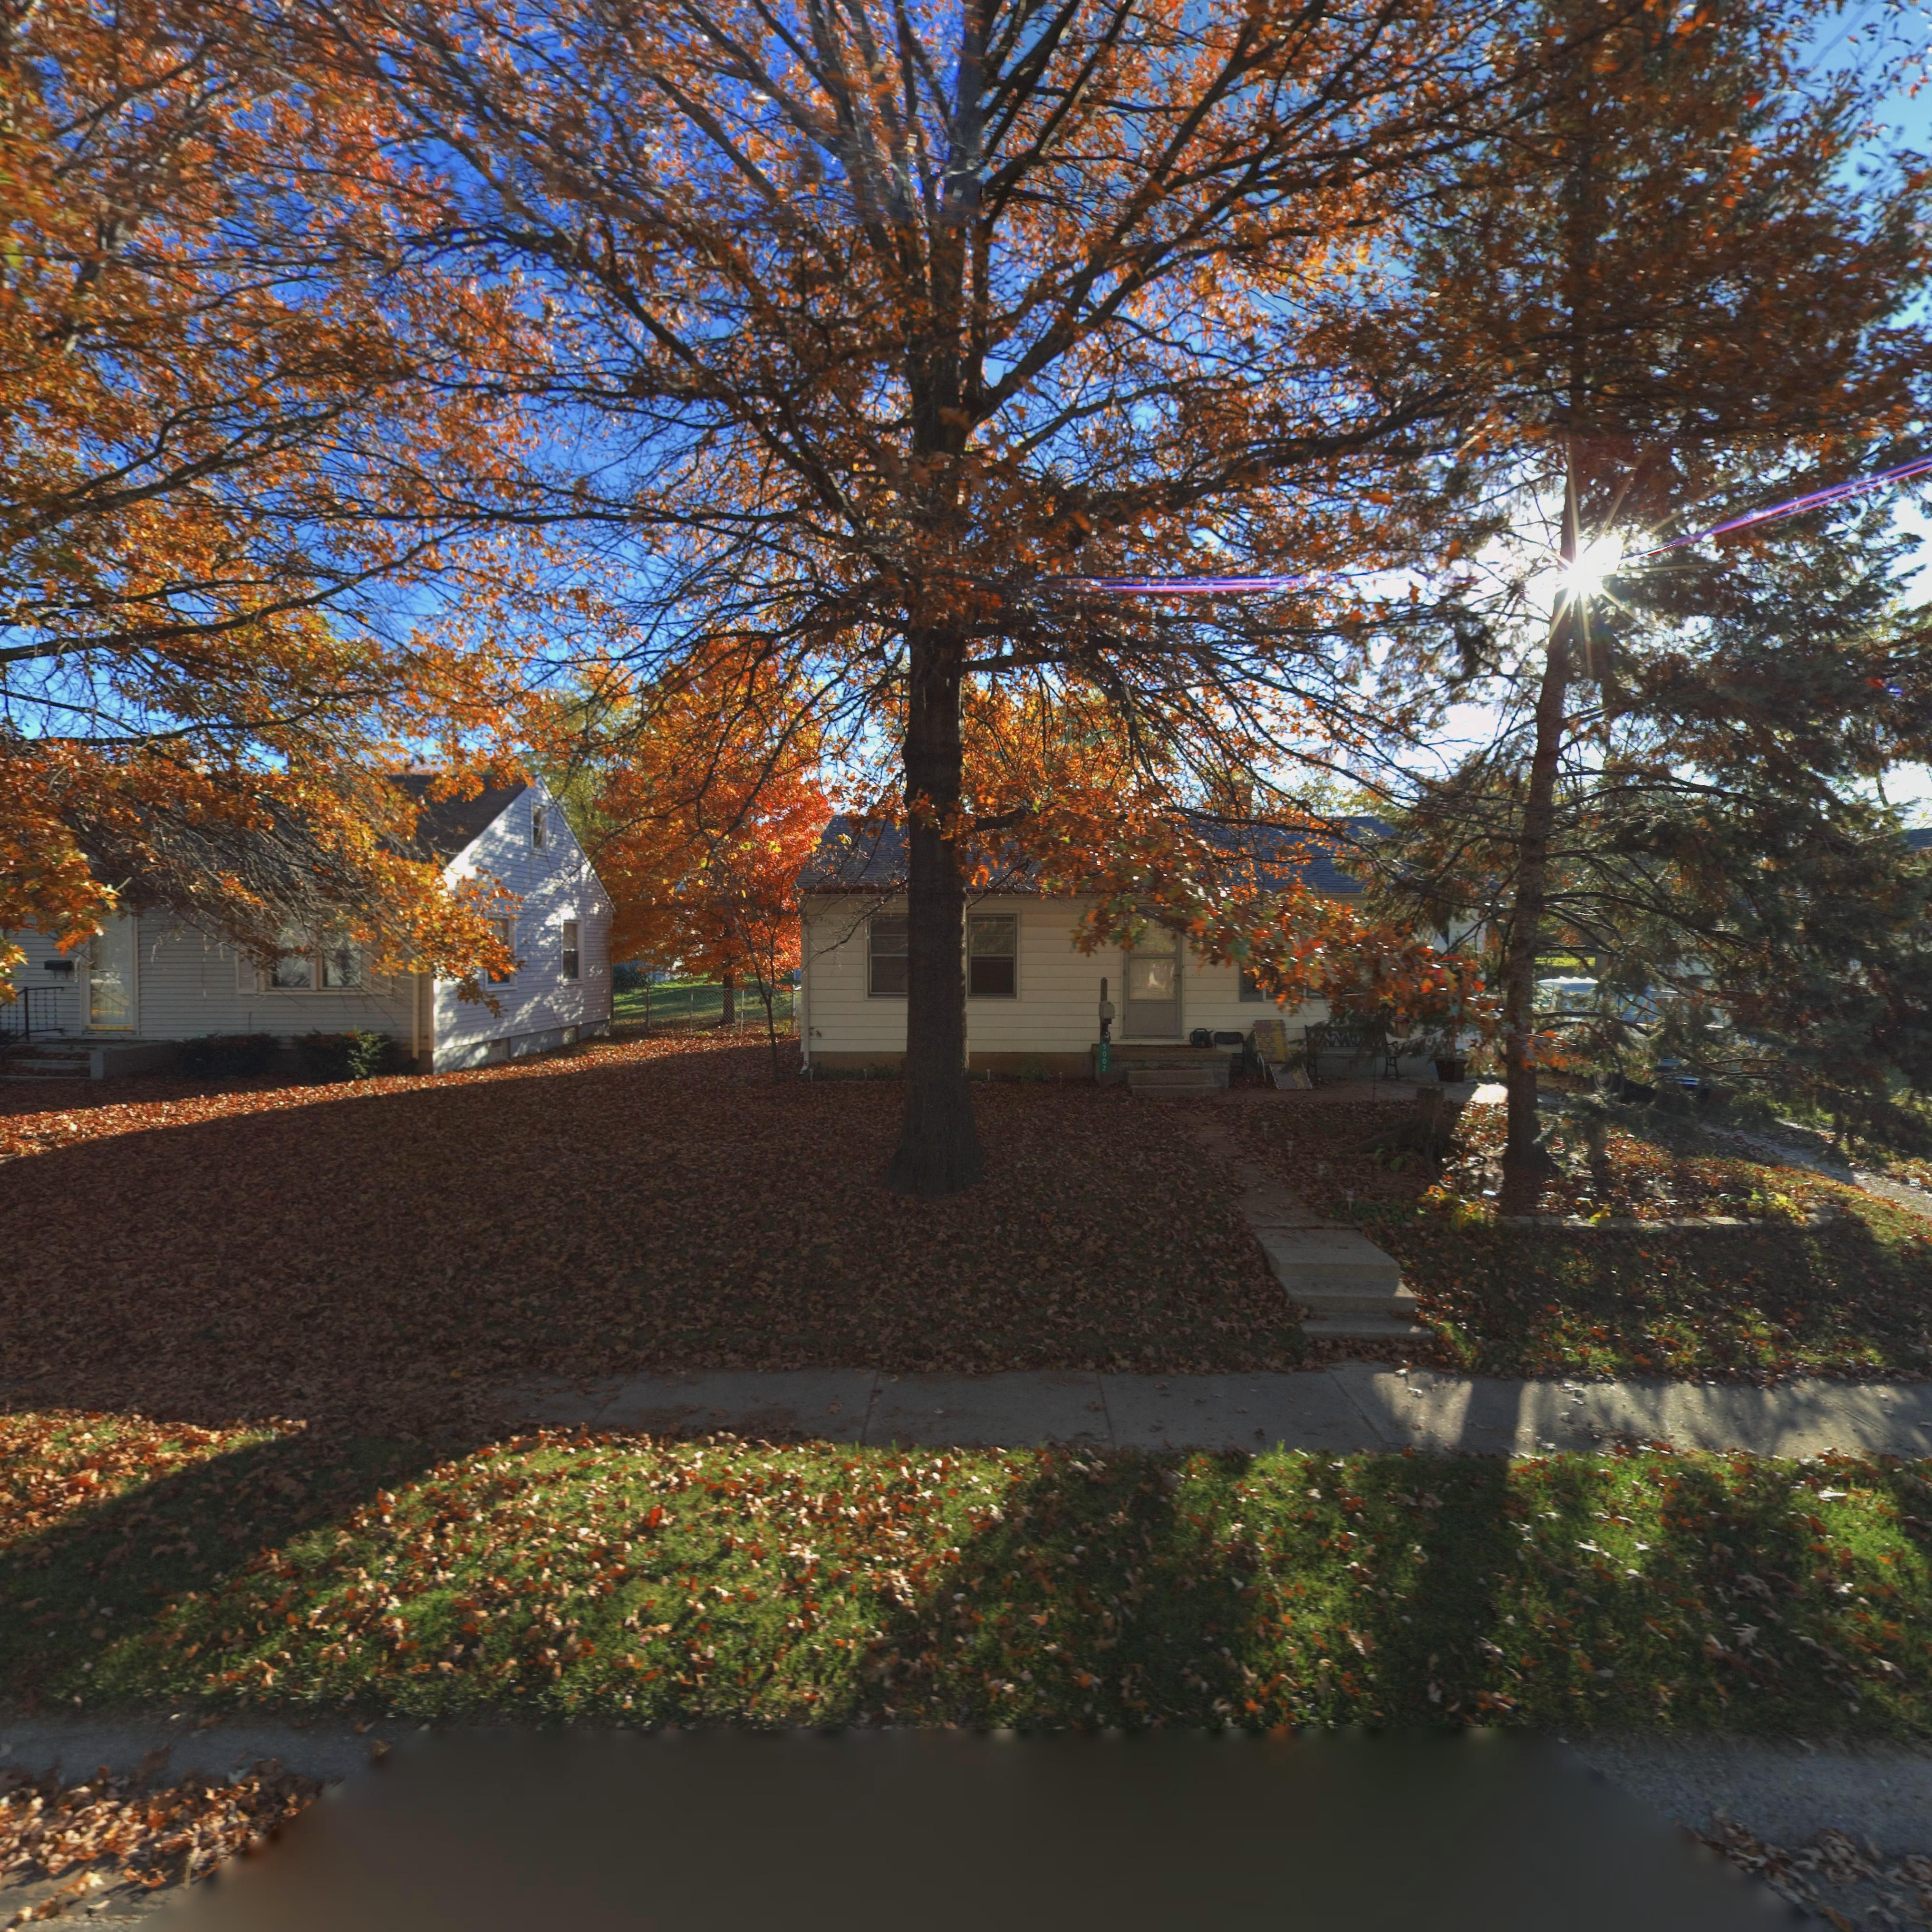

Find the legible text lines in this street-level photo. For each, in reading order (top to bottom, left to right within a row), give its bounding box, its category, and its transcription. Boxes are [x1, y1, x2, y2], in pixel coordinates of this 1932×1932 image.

[1101, 1043, 1107, 1072] StreetNumber: 5002